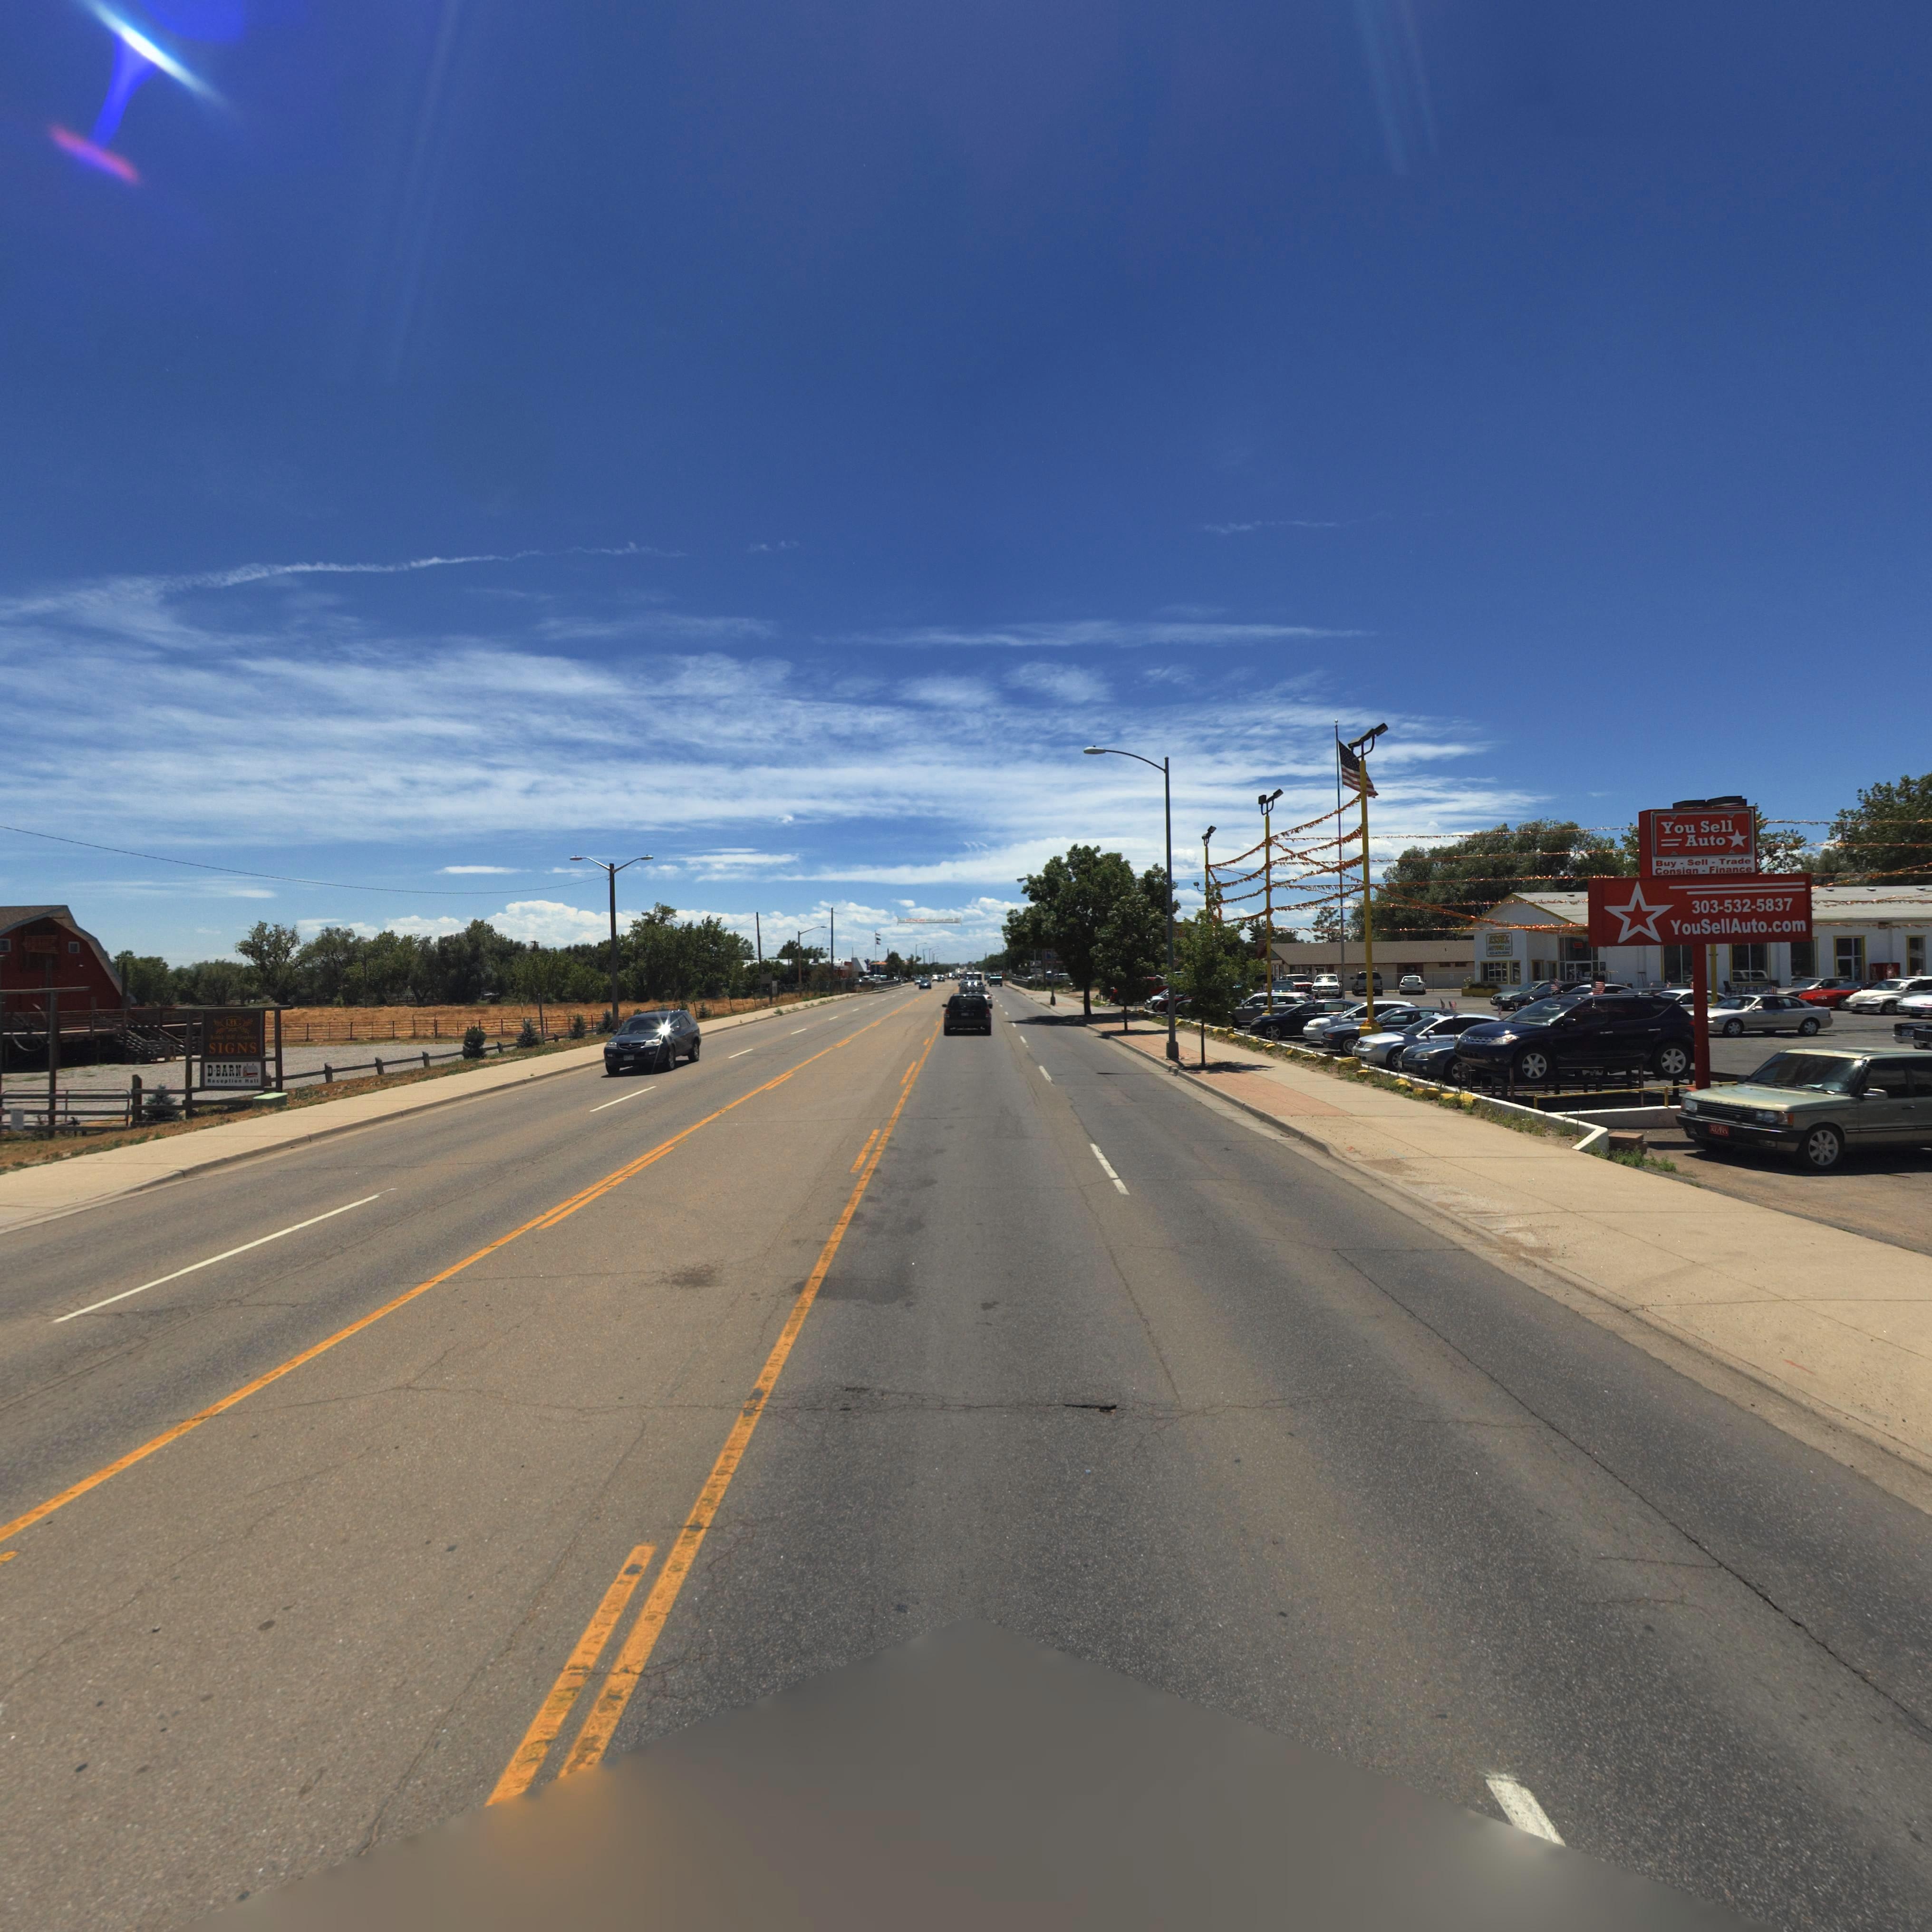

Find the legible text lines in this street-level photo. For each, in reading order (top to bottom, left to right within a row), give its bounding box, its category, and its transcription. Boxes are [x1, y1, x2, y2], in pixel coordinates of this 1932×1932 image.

[1659, 819, 1734, 834] BusinessName: You Sell
[1684, 834, 1726, 846] BusinessName: Auto
[1172, 926, 1186, 937] BusinessName: SE
[1488, 934, 1511, 945] BusinessName: ESSEX
[1487, 944, 1511, 951] BusinessName: MOTORS LLC
[207, 1064, 241, 1076] BusinessName: D-BARN